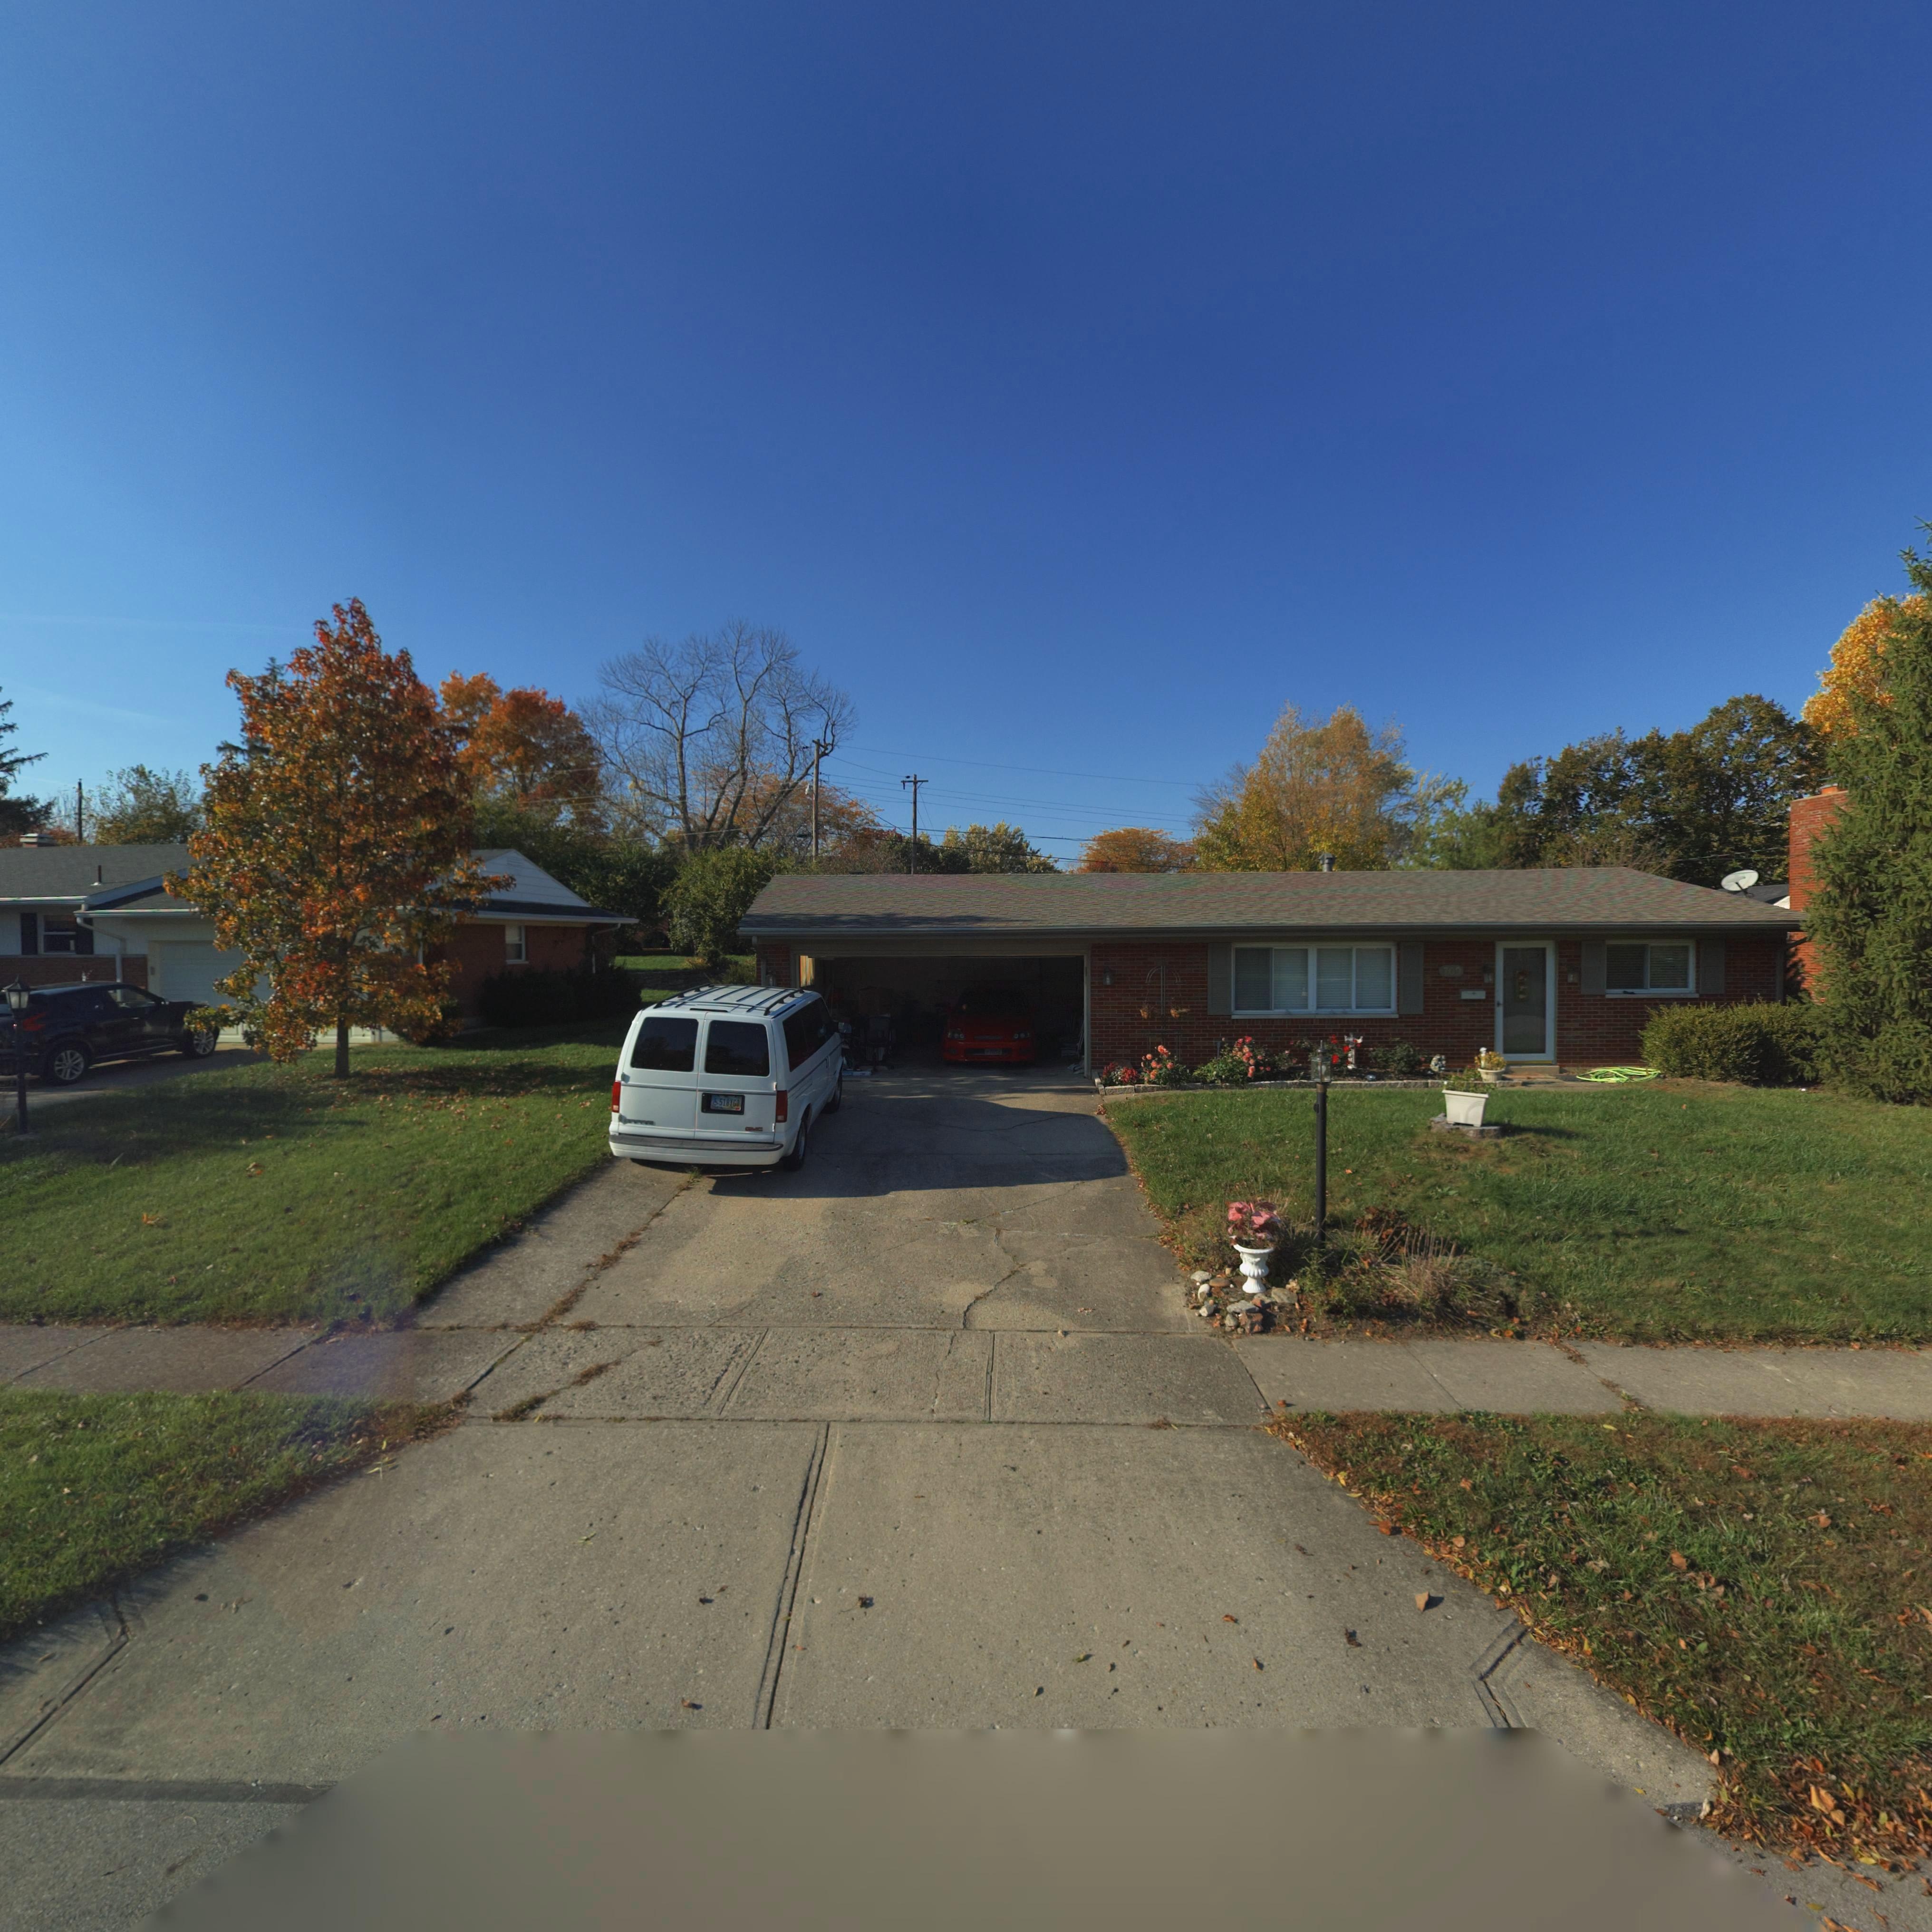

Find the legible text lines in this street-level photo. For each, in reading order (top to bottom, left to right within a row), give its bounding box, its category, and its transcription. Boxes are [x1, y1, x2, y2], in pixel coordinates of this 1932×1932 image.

[1442, 966, 1462, 977] StreetNumber: 709